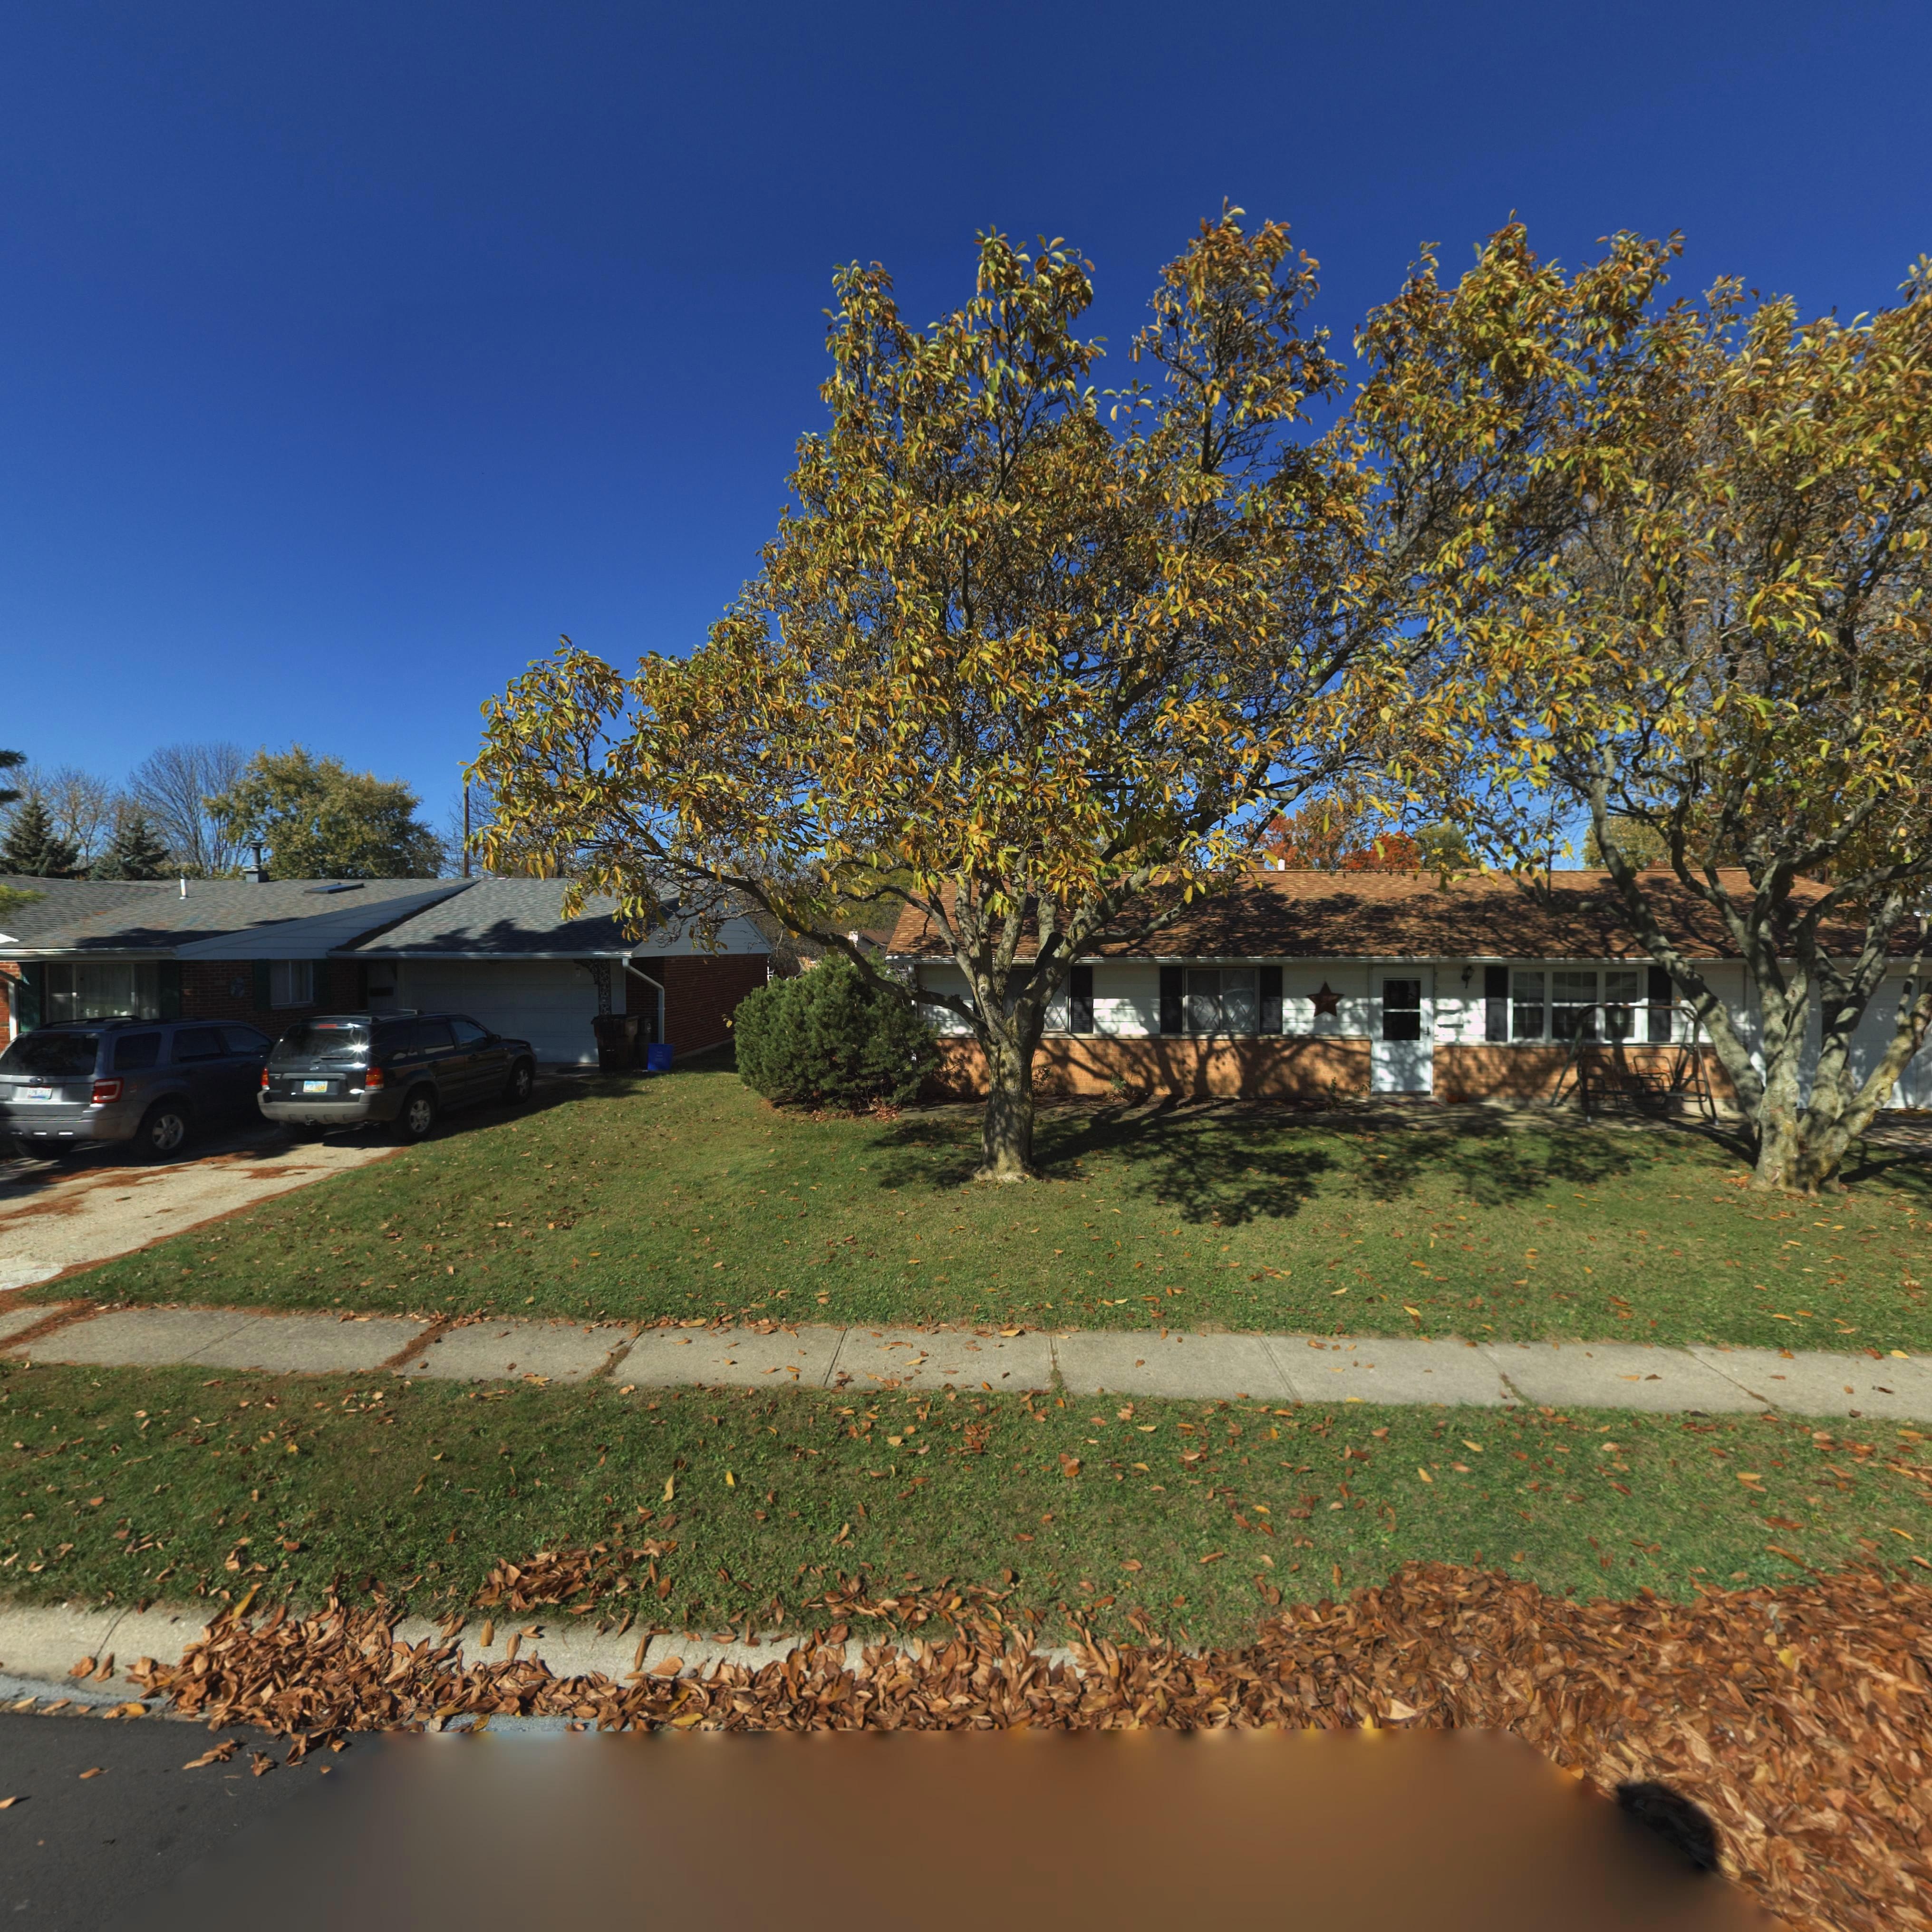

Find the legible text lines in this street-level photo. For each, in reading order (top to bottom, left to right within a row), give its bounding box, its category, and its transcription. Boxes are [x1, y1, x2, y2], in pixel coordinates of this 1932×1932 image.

[1433, 971, 1439, 1004] StreetNumber: 801